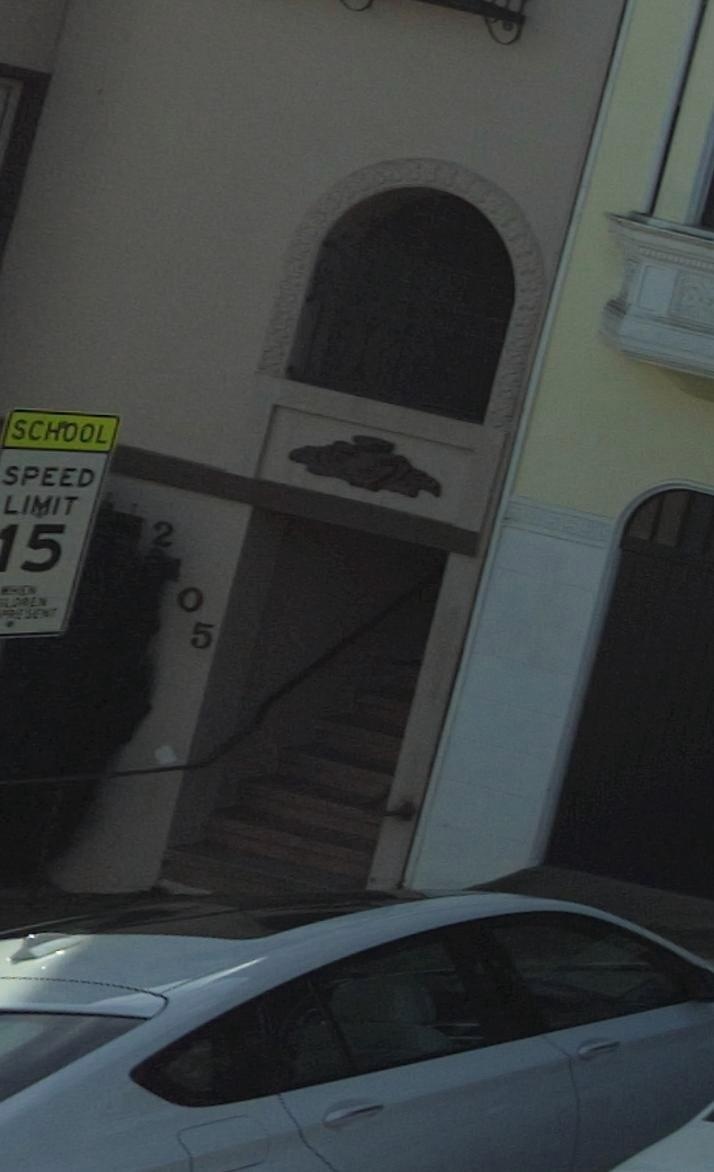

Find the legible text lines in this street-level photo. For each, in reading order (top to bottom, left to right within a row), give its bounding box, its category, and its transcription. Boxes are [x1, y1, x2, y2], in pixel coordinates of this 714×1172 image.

[8, 417, 111, 447] None: SCHOOL
[0, 462, 98, 490] None: SPEED
[1, 491, 82, 519] None: LIMIT
[17, 521, 69, 575] None: 5
[147, 517, 219, 653] StreetNumber: 2*05